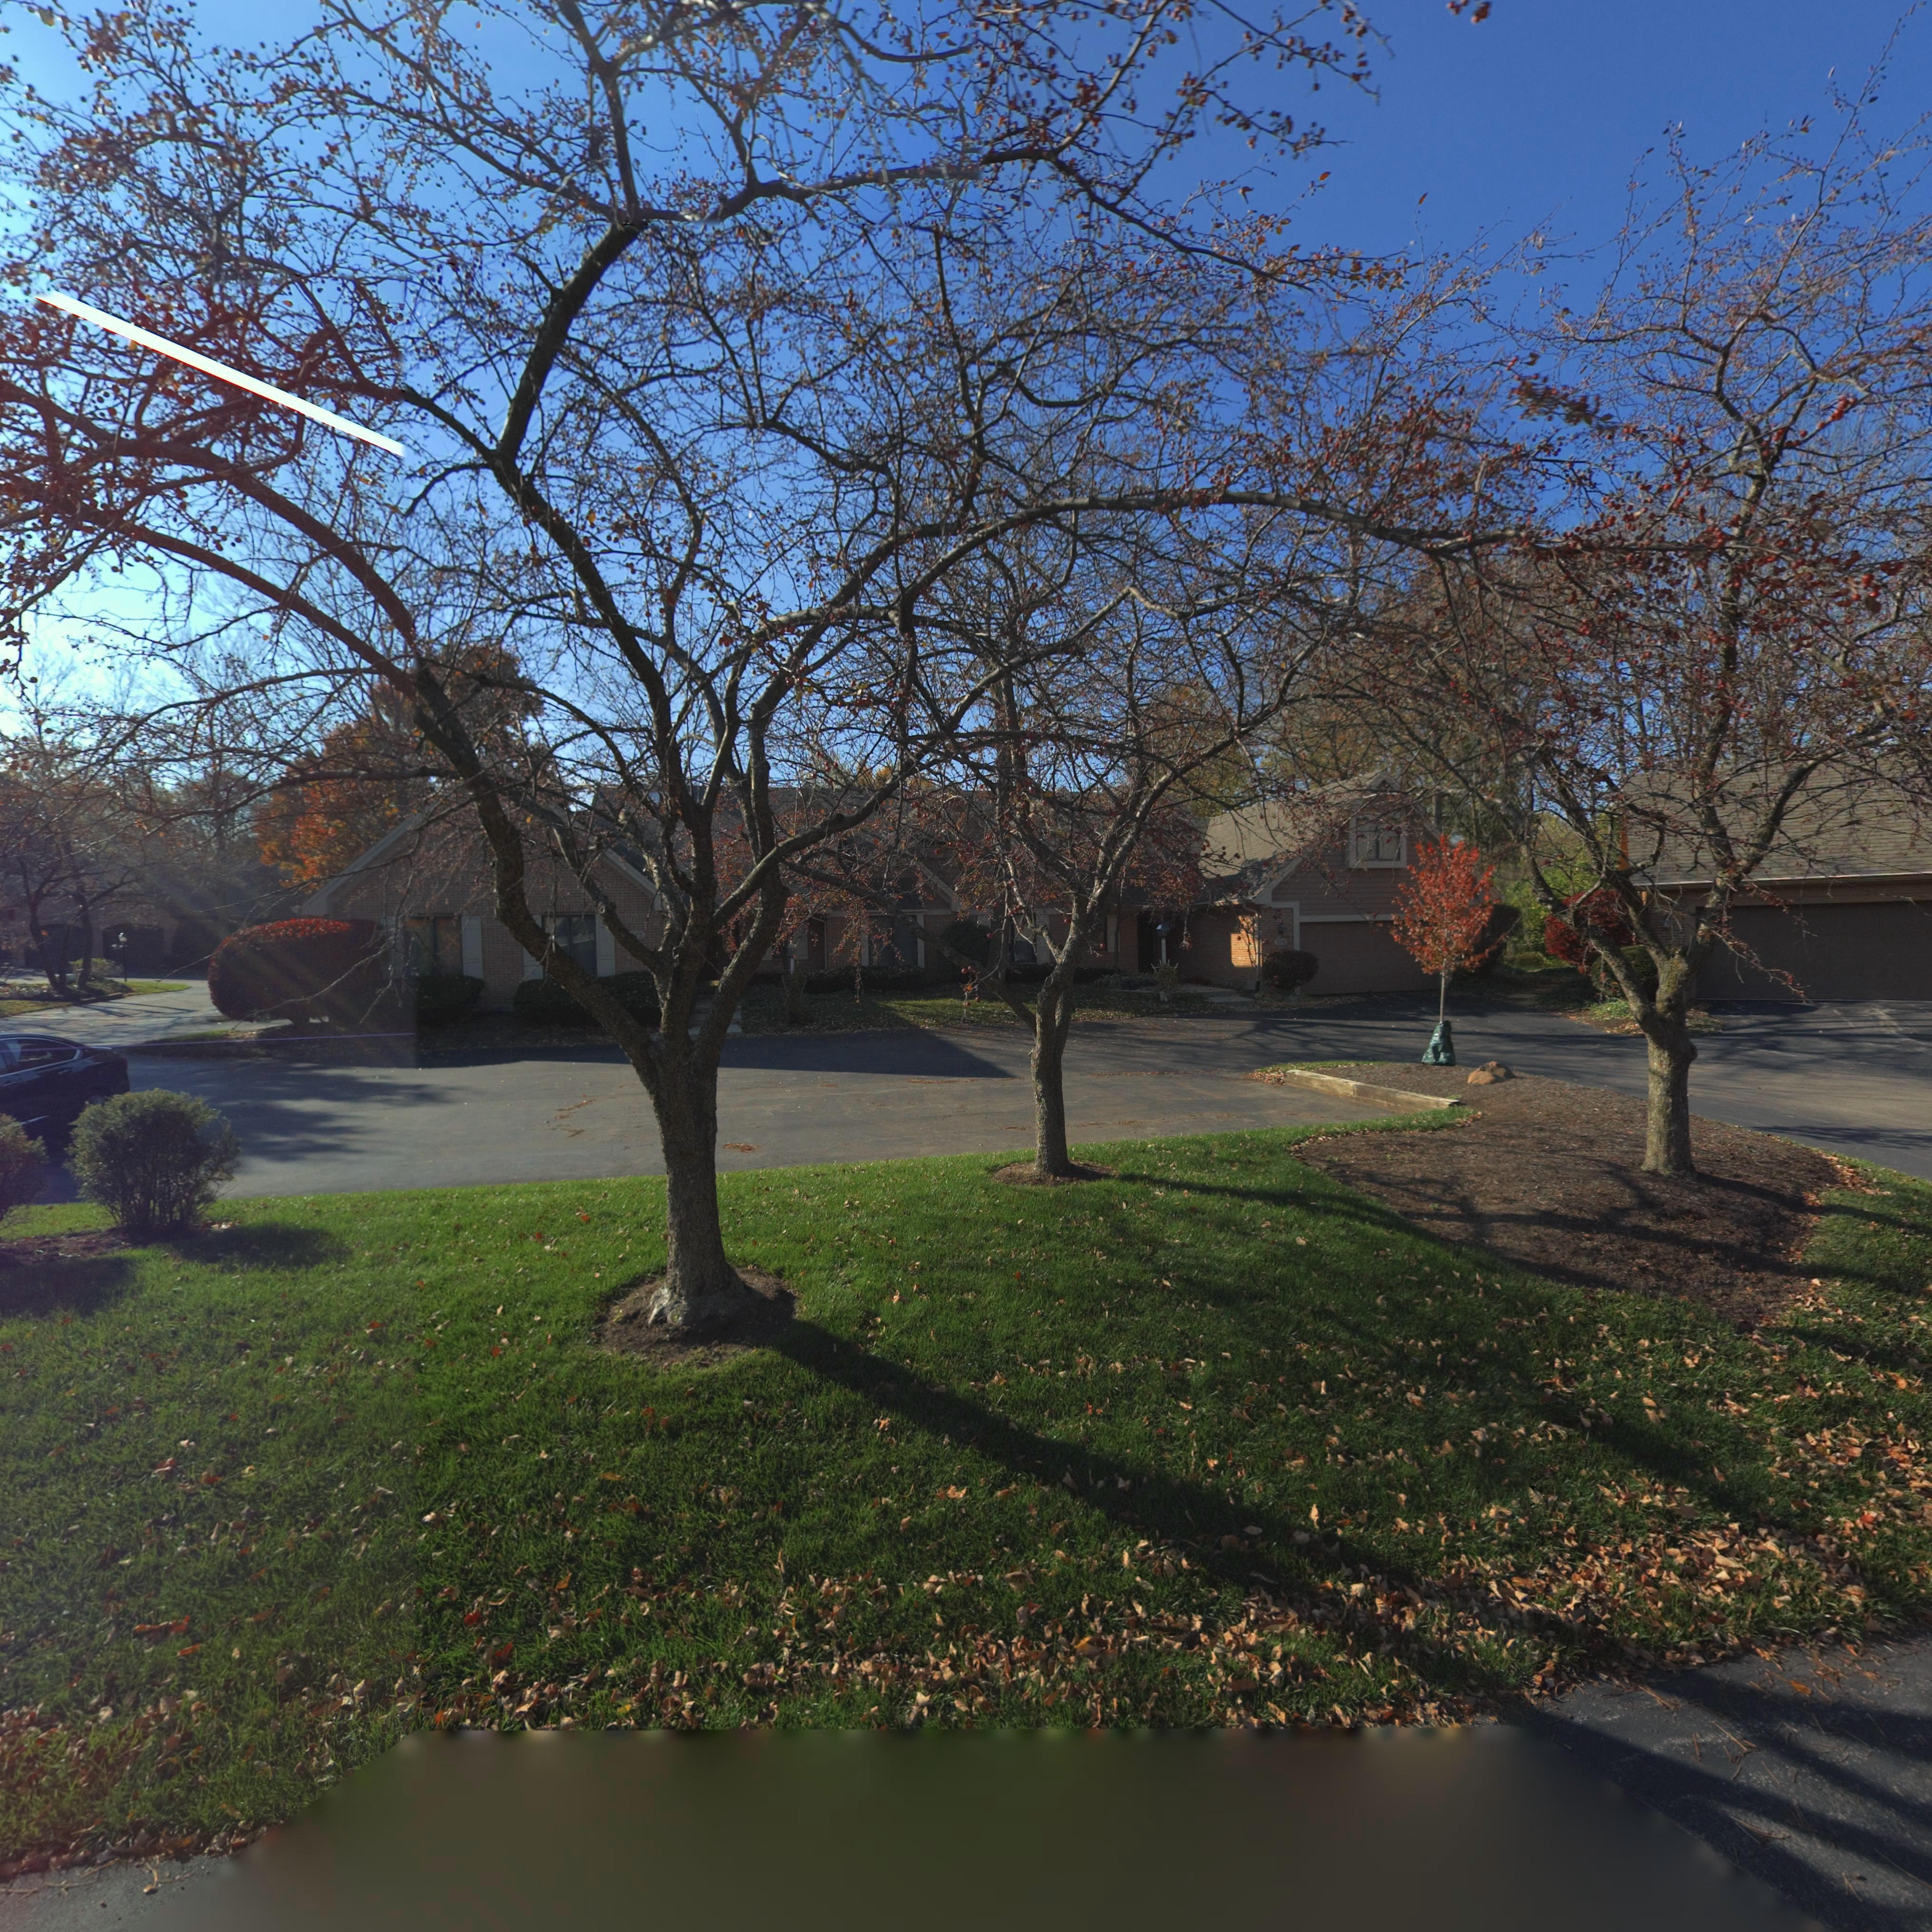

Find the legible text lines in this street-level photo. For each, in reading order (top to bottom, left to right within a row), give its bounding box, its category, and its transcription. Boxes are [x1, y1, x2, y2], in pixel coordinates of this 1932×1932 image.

[638, 932, 643, 938] StreetNumber: 3
[1276, 939, 1285, 946] StreetNumber: 575